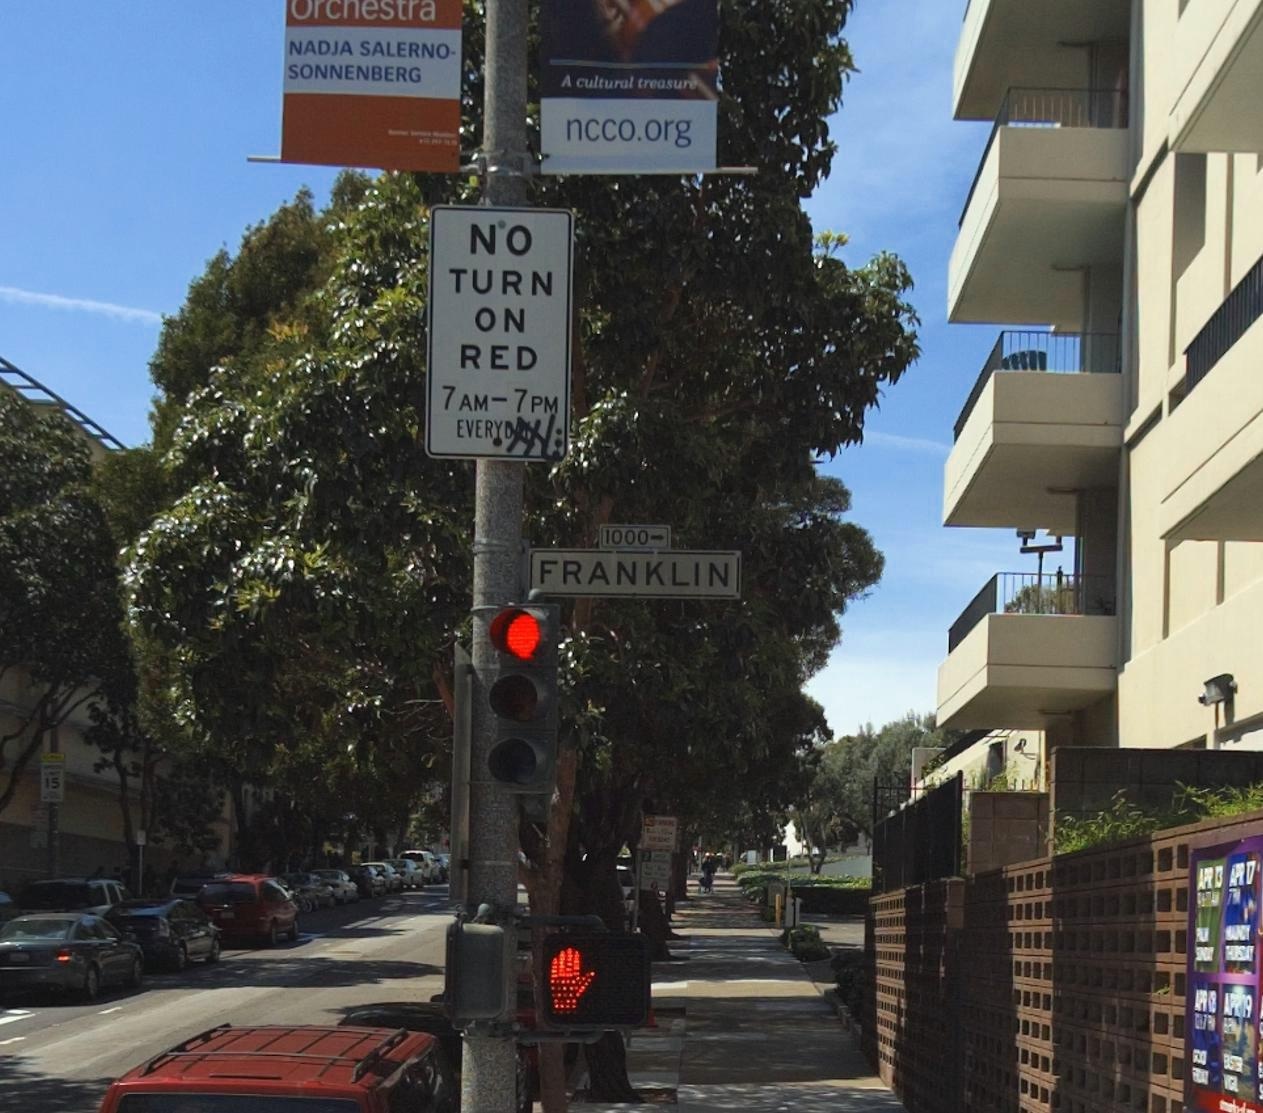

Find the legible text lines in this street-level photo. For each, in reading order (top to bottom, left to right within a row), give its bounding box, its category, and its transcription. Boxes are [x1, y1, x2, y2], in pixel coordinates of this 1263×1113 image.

[287, 36, 455, 58] None: NADJA SALERNO
[285, 60, 420, 83] None: SONNENBERG
[558, 72, 696, 91] None: A cultural treasure
[563, 114, 692, 147] None: ncco.org
[467, 218, 530, 256] None: NO
[446, 264, 553, 298] None: TURN
[472, 304, 525, 333] None: ON
[457, 341, 537, 370] None: RED
[439, 383, 559, 416] None: 7AM-7PM
[455, 417, 513, 439] None: EVERYD
[603, 524, 666, 548] StreetNumberRange: 1000->
[535, 556, 733, 589] StreetName: FRANKLIN
[1196, 864, 1225, 890] None: APR 13
[1228, 858, 1258, 888] None: APR 17
[1193, 987, 1218, 1014] None: APR 18
[1222, 990, 1254, 1020] None: APR 19